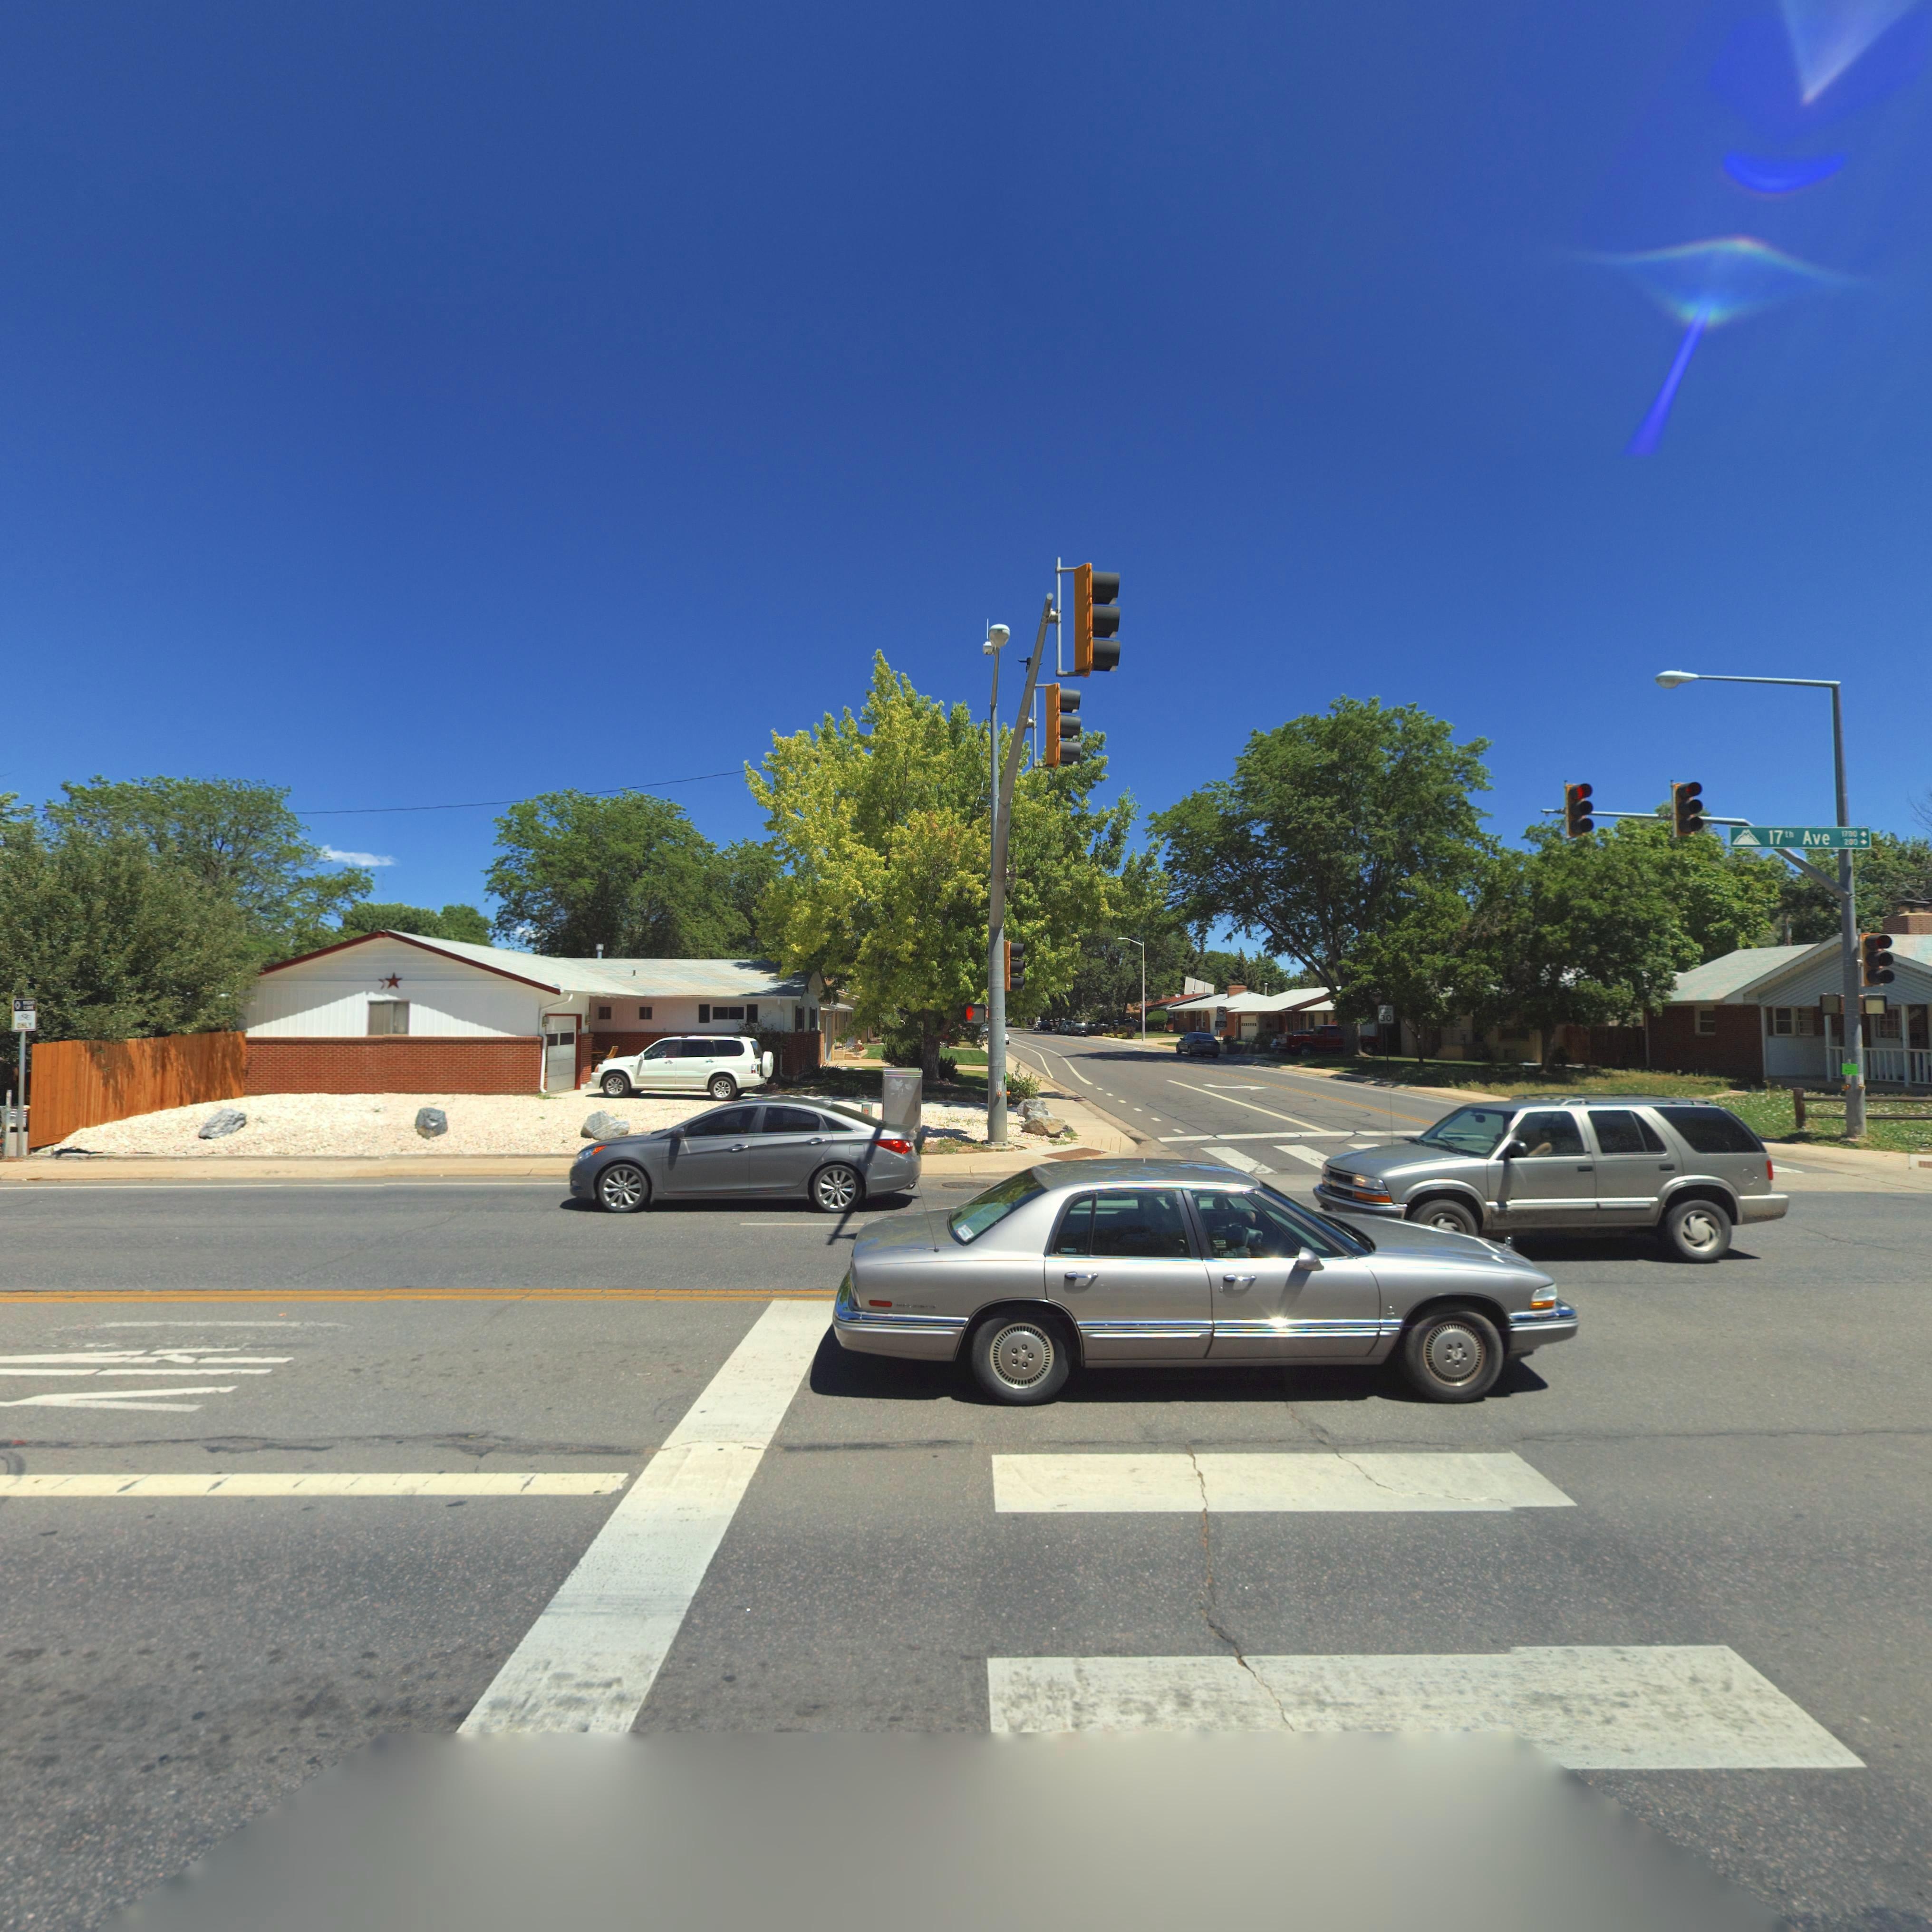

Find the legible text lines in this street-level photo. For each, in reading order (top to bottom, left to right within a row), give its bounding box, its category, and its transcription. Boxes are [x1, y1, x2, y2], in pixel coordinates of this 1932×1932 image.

[1841, 830, 1857, 837] StreetNumberRange: 1700
[1768, 830, 1830, 845] StreetName: 17th Ave
[1844, 838, 1867, 845] StreetNumberRange: 200->